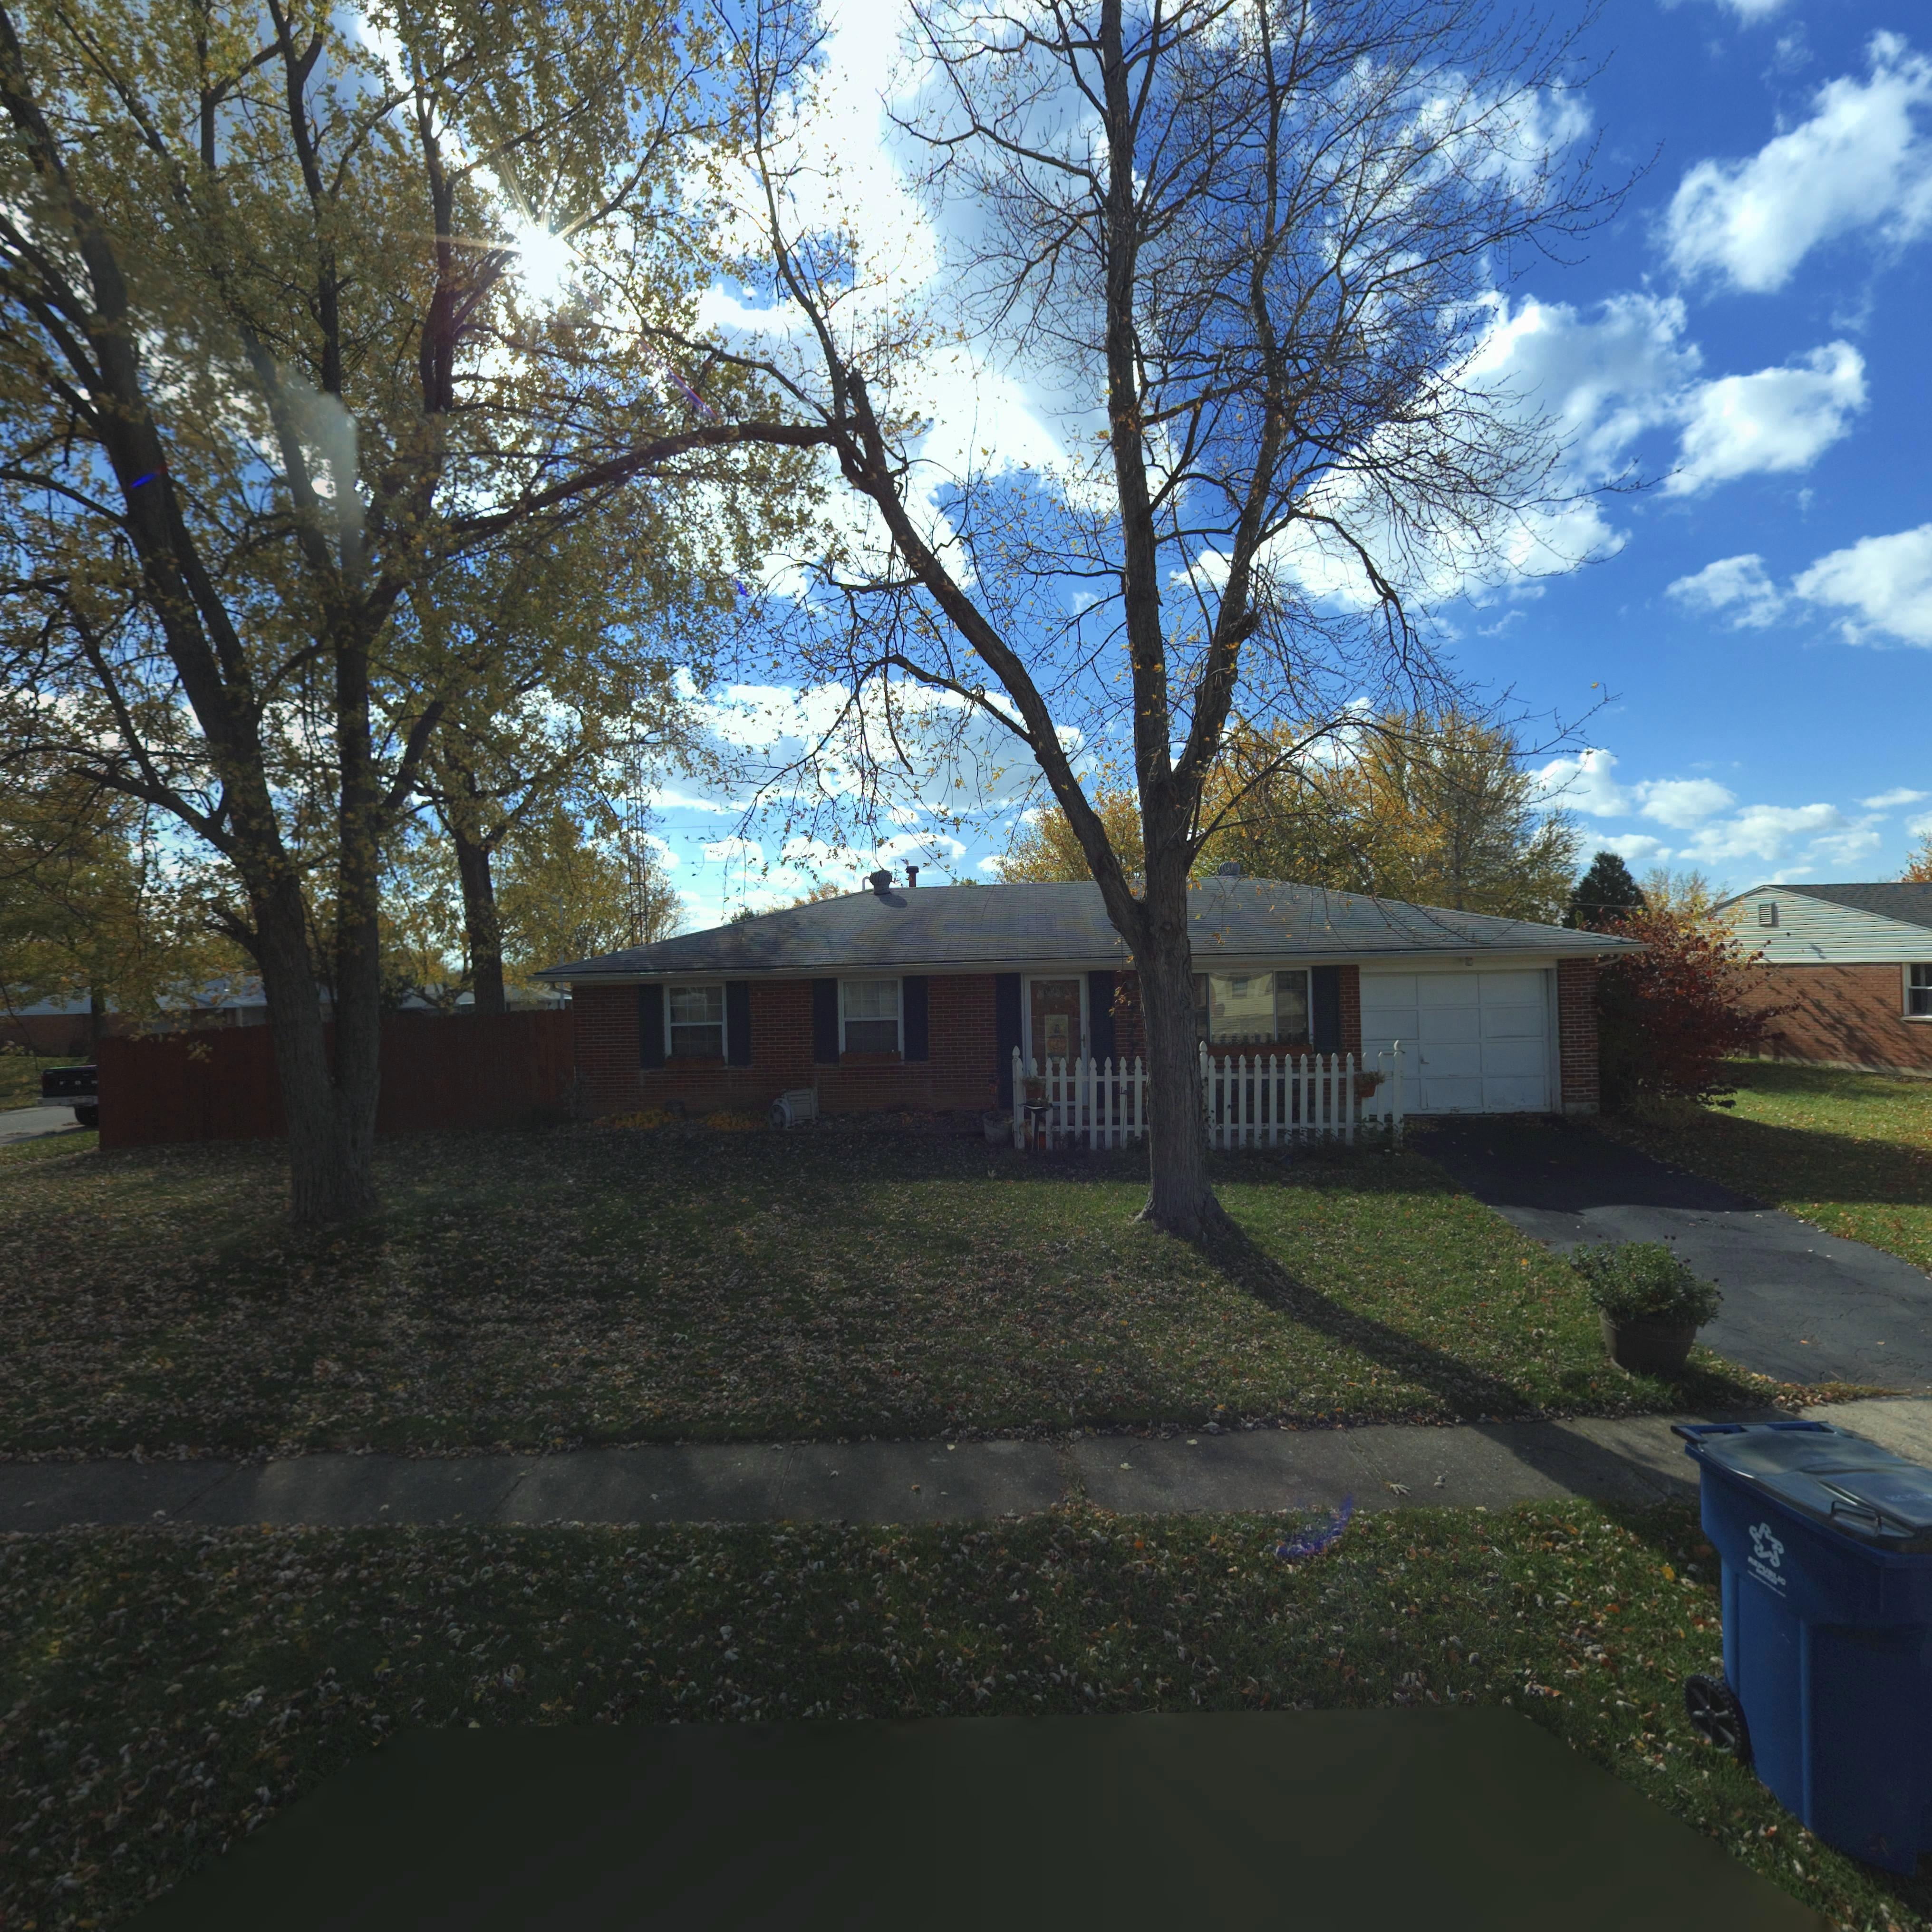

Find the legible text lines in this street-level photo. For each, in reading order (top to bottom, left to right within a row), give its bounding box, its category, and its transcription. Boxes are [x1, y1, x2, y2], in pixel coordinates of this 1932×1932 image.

[1126, 1004, 1140, 1058] StreetNumber: 777